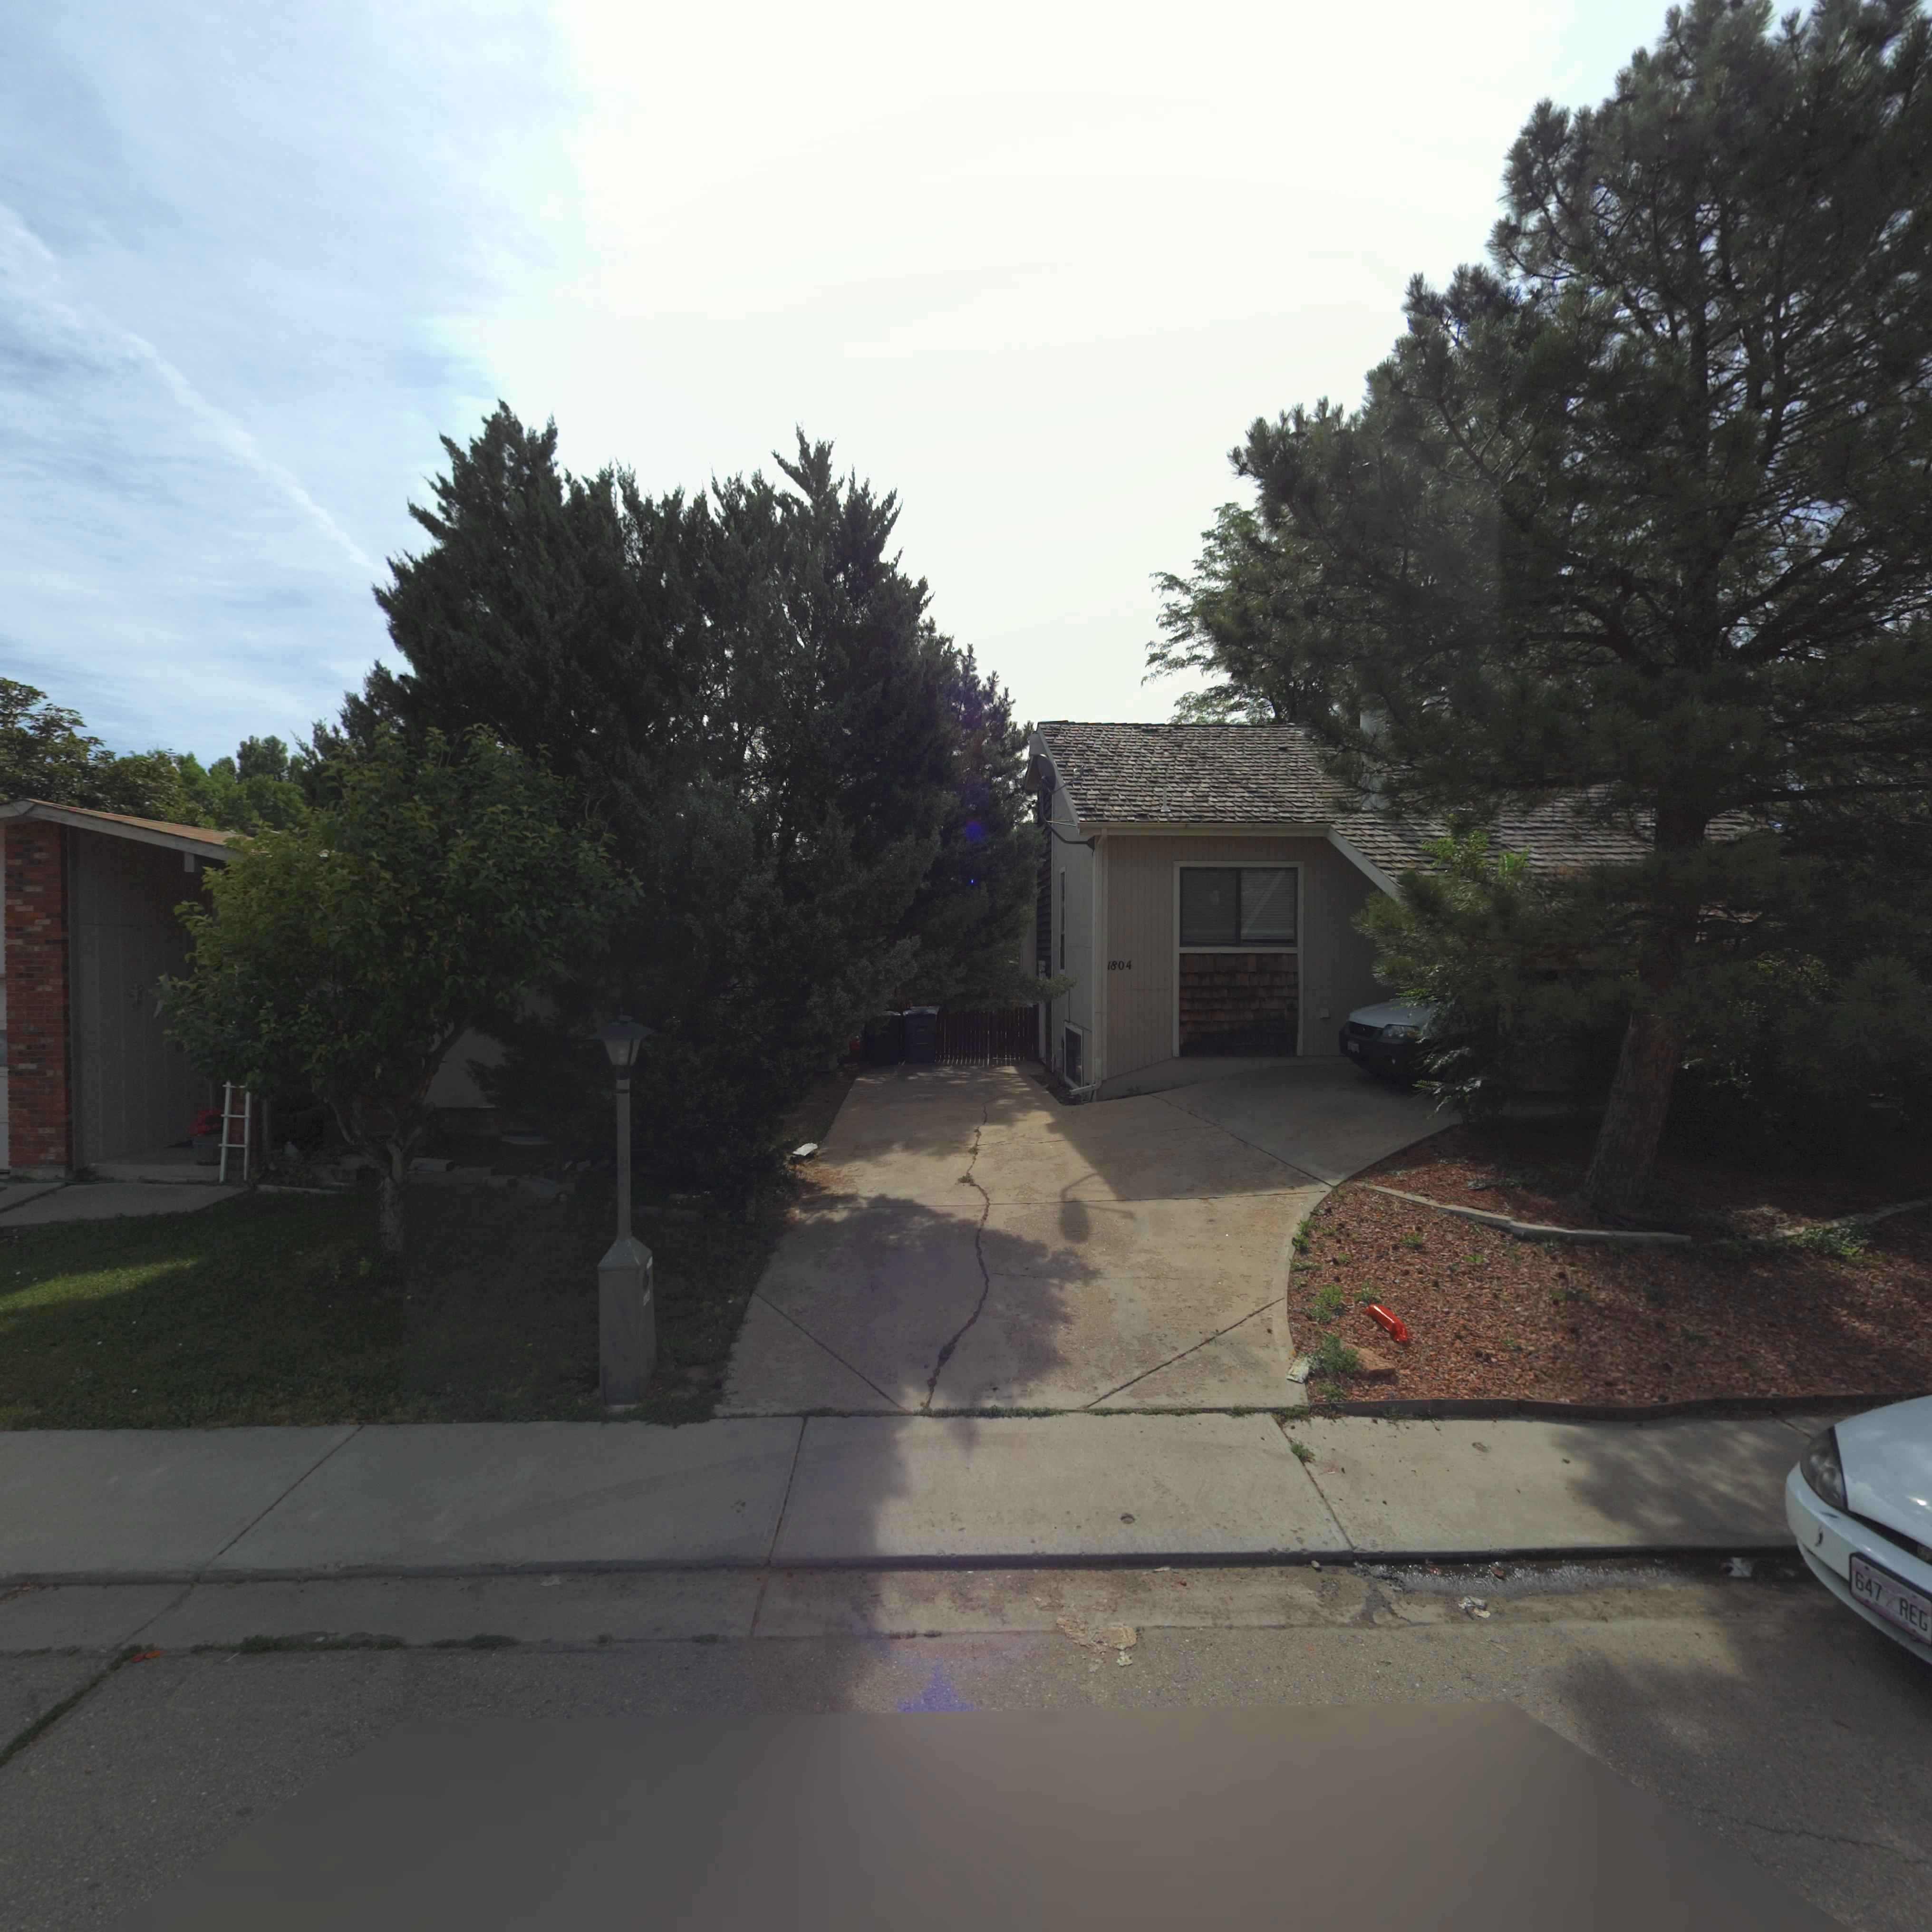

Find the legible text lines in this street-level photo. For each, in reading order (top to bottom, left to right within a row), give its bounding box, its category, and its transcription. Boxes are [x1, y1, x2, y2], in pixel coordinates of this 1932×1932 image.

[1107, 959, 1132, 970] StreetNumber: 1804